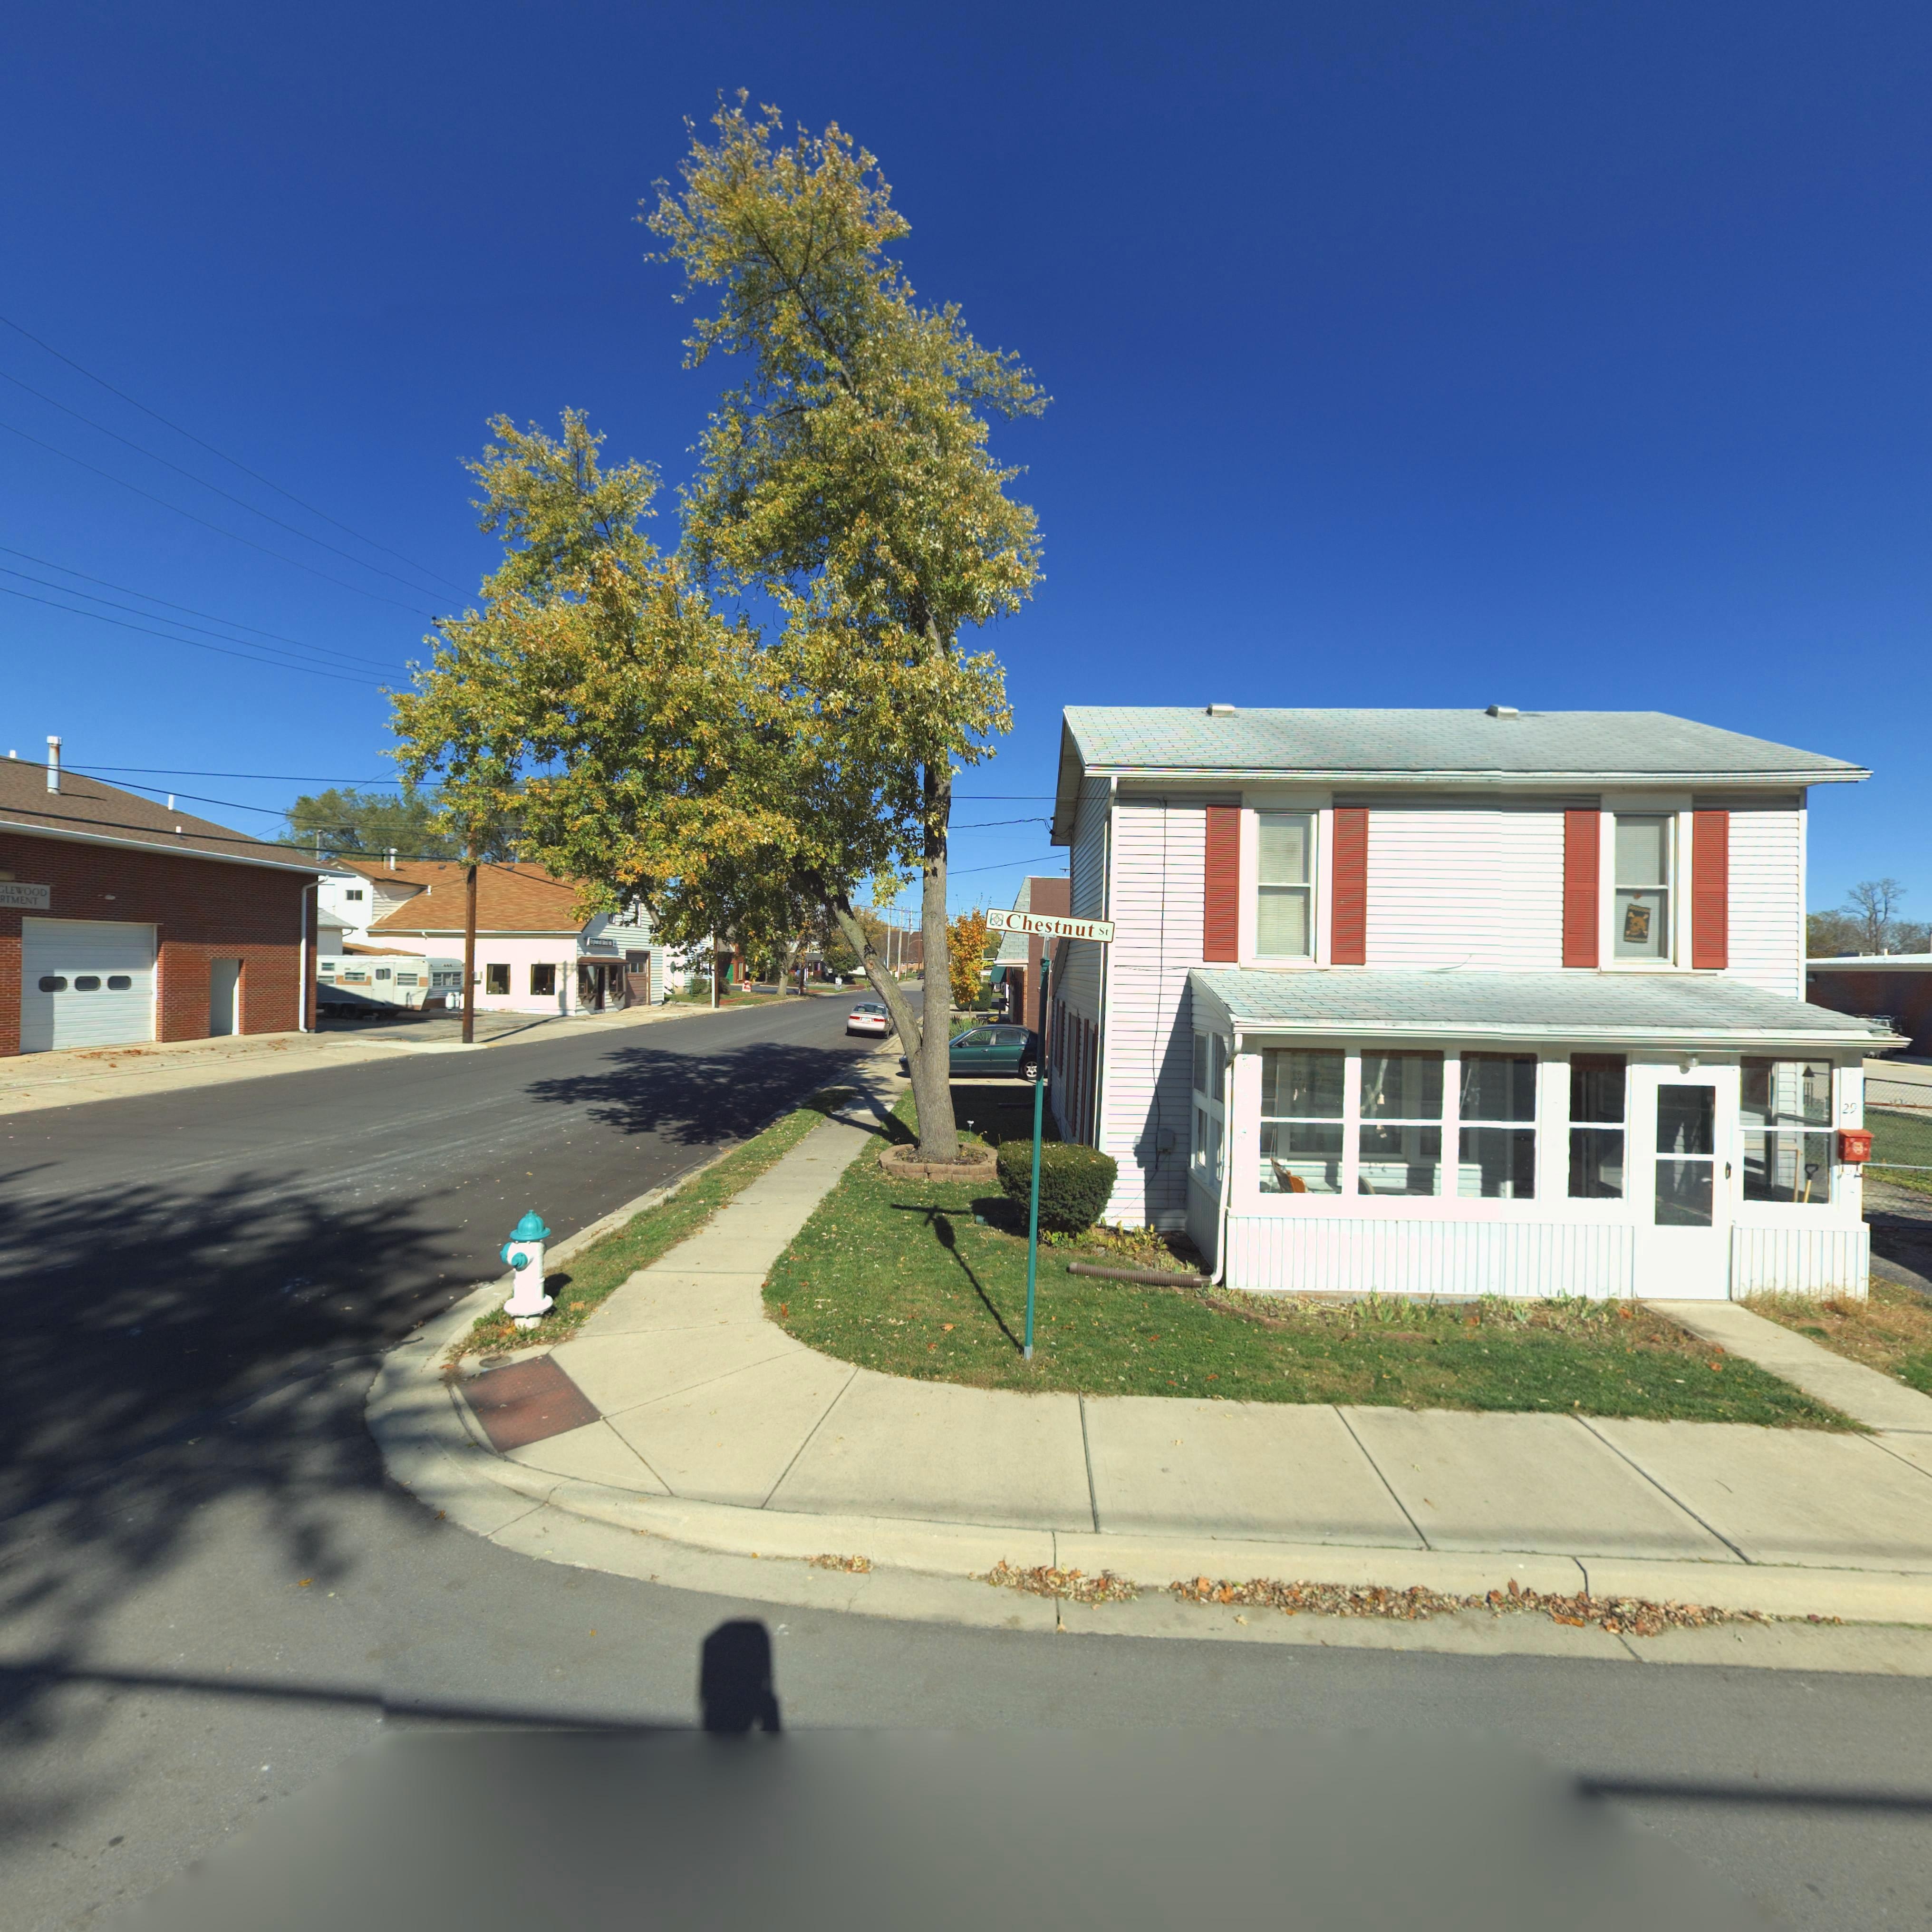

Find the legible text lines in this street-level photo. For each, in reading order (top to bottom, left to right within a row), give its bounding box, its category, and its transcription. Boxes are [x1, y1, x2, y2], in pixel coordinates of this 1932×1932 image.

[4, 885, 48, 898] BusinessName: LEWOOD
[4, 894, 39, 906] BusinessName: TMENT
[1004, 912, 1111, 938] StreetName: Chestnut St
[1841, 1102, 1857, 1114] StreetNumber: 29